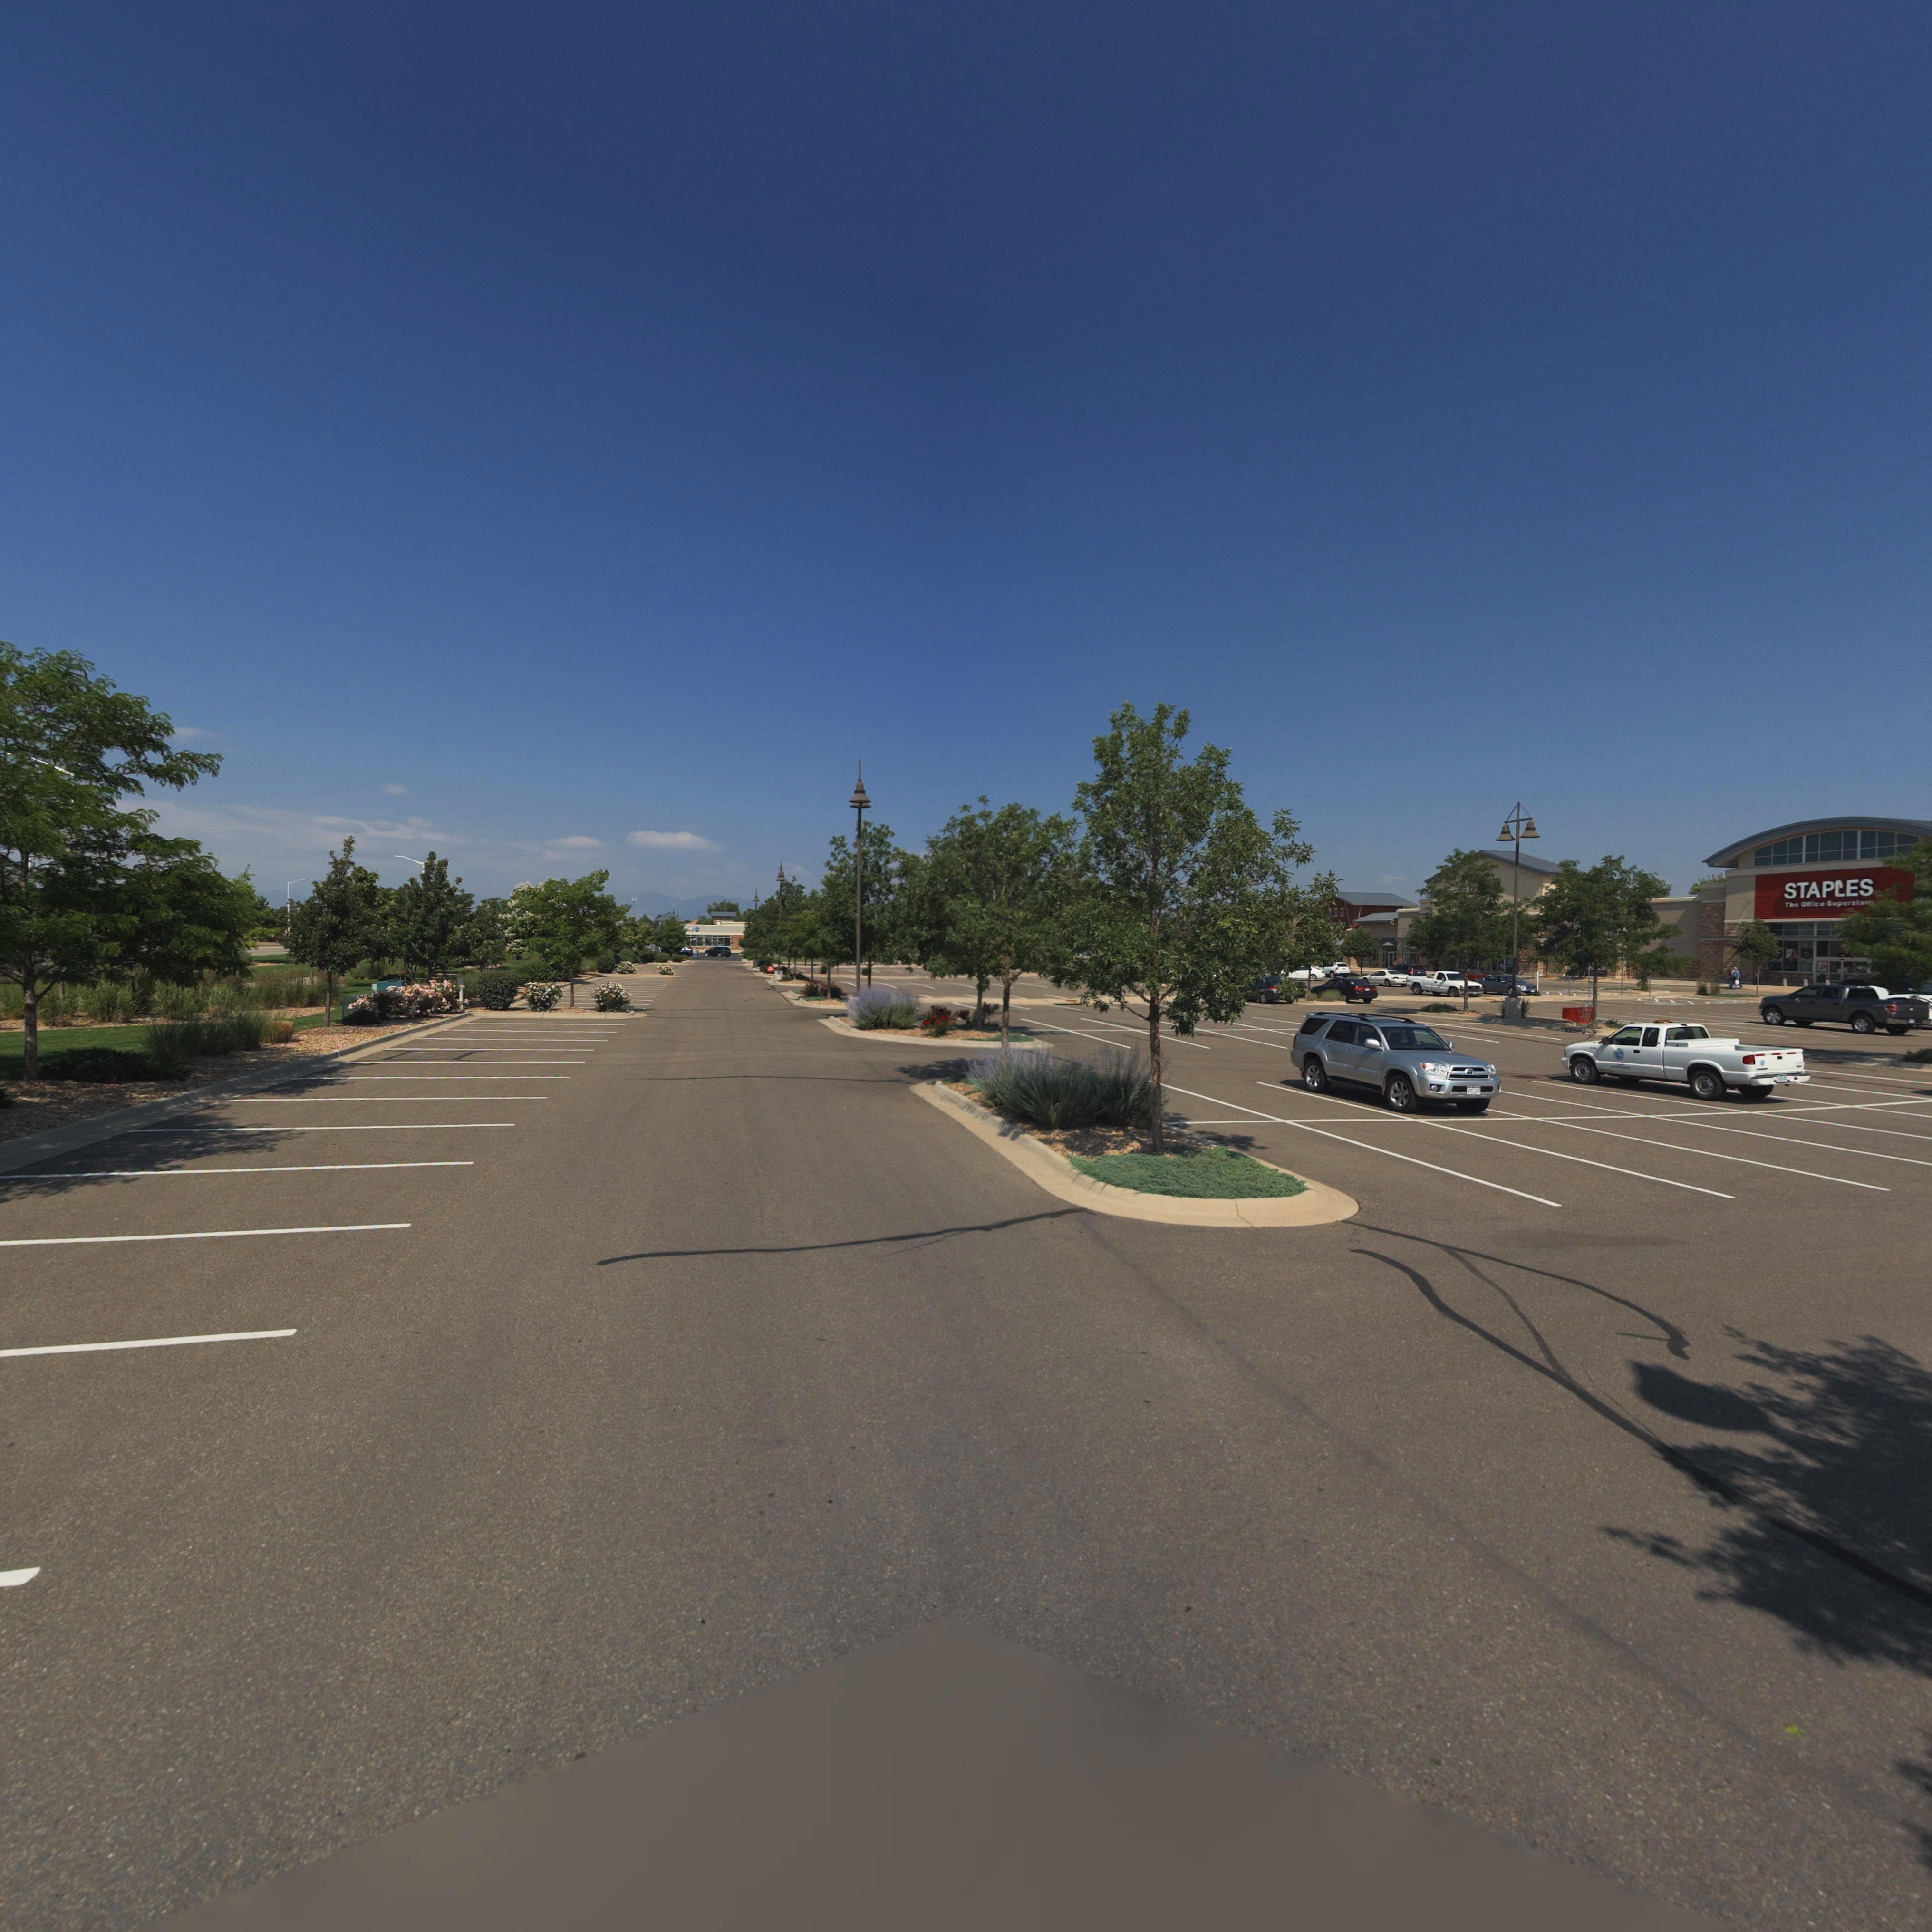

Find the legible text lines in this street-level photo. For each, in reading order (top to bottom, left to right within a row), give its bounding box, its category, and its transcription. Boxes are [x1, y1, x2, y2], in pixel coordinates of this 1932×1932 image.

[1784, 878, 1874, 899] BusinessName: STAPLES
[686, 926, 694, 931] BusinessName: SE